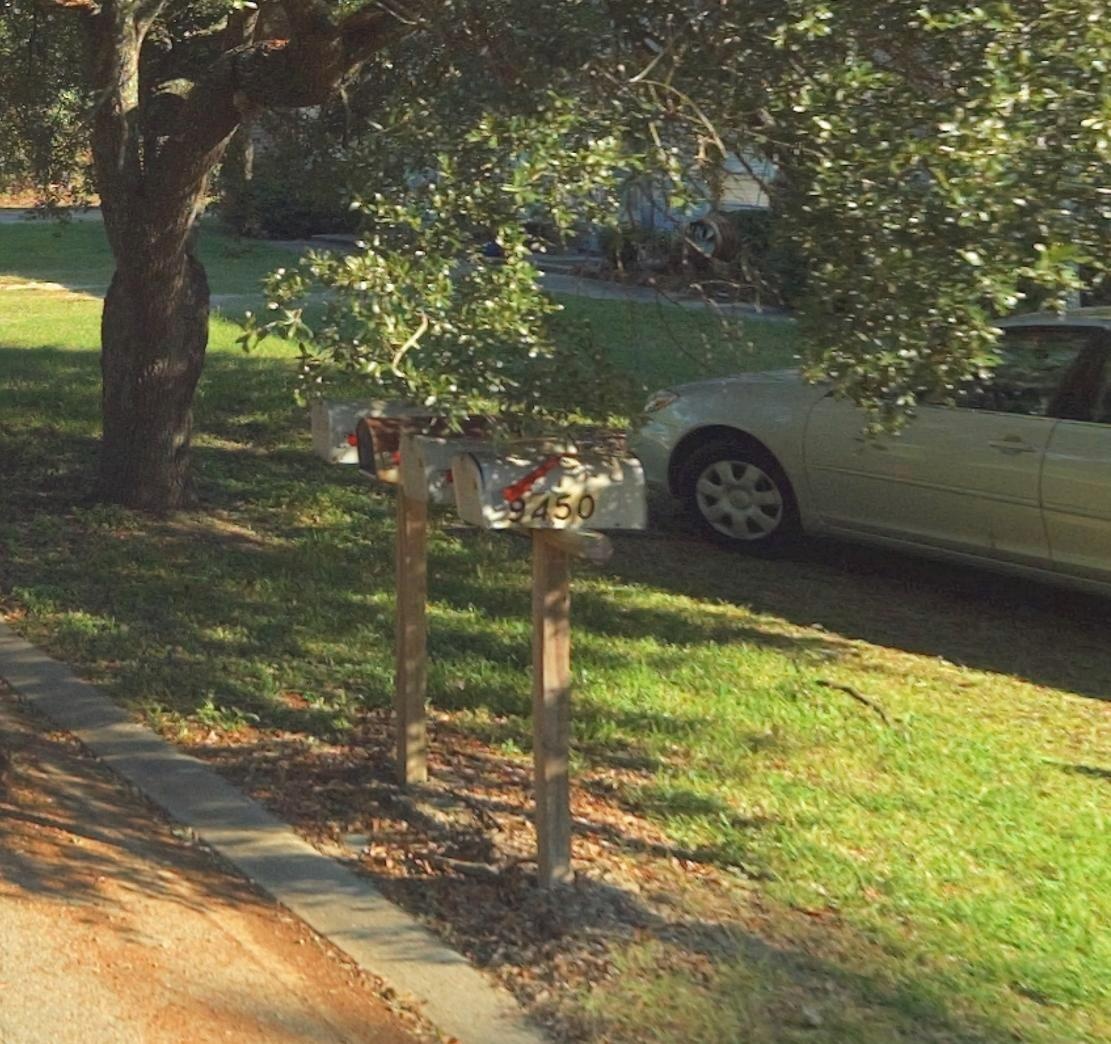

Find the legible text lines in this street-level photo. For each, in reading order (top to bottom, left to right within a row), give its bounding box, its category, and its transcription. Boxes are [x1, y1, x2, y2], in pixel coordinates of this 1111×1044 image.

[503, 490, 600, 527] StreetNumber: 9450